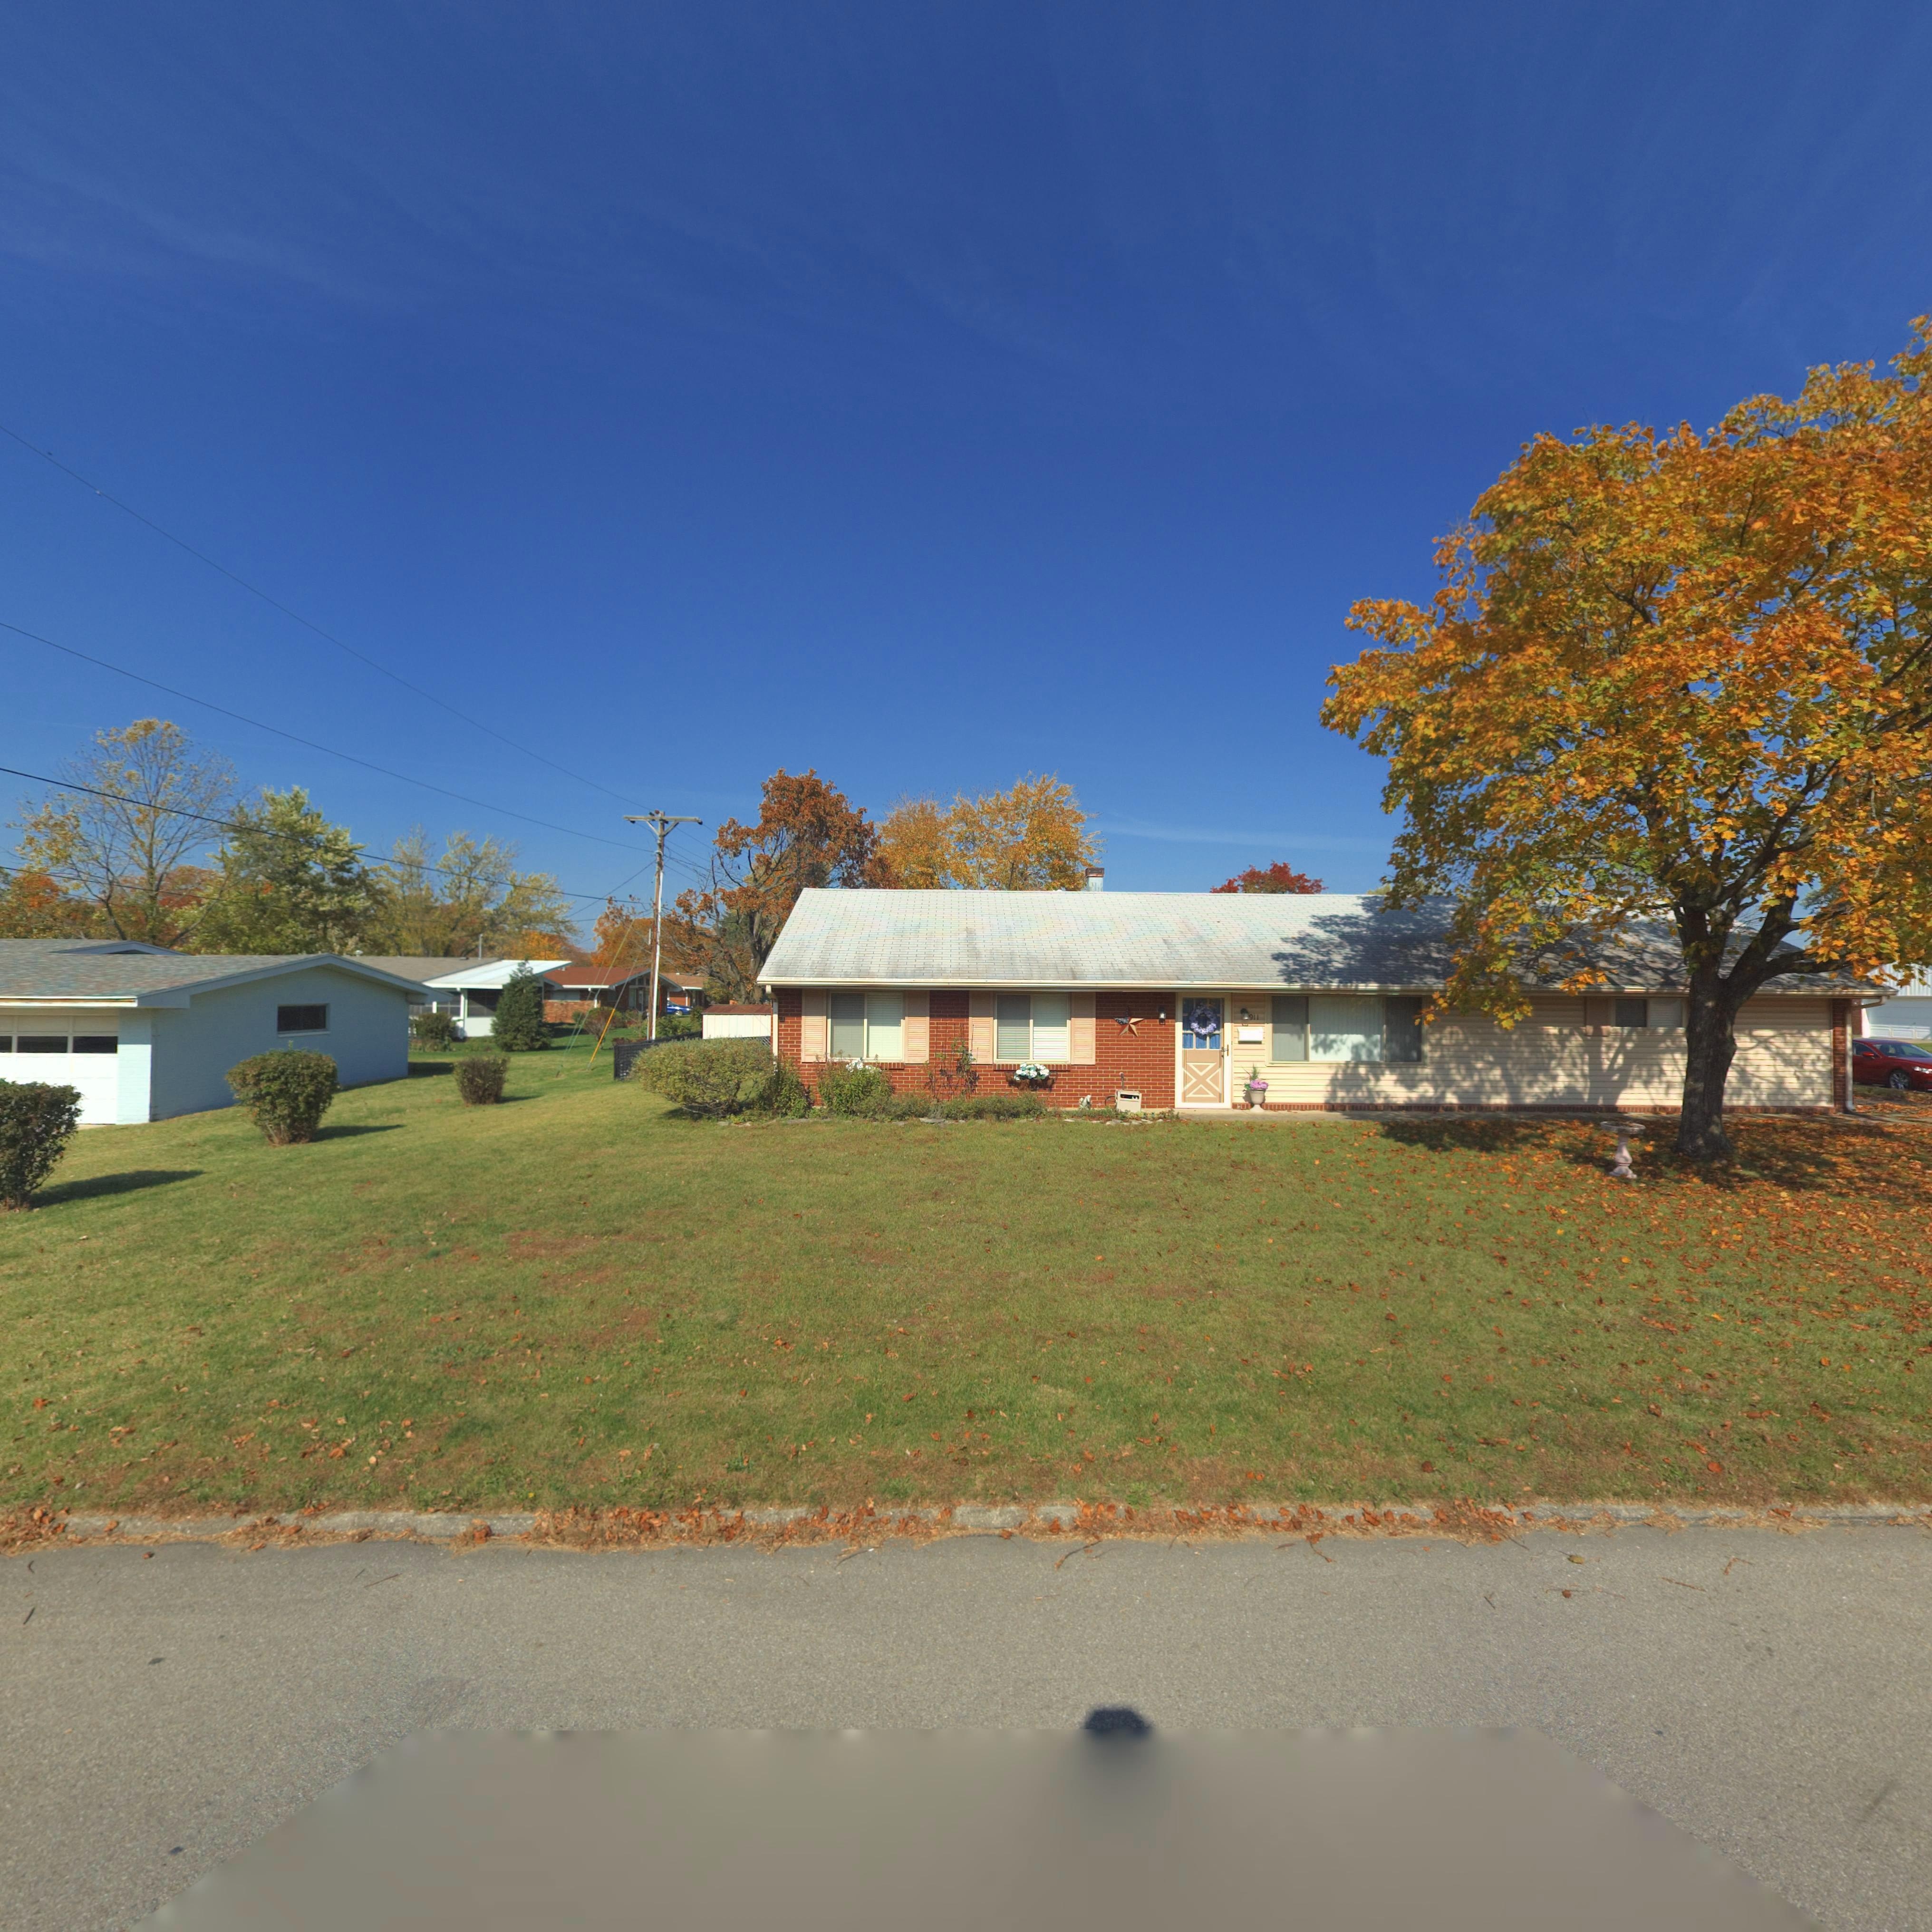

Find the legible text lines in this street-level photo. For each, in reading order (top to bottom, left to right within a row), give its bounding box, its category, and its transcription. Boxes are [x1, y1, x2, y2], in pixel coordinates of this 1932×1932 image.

[1248, 1013, 1259, 1021] StreetNumber: 911